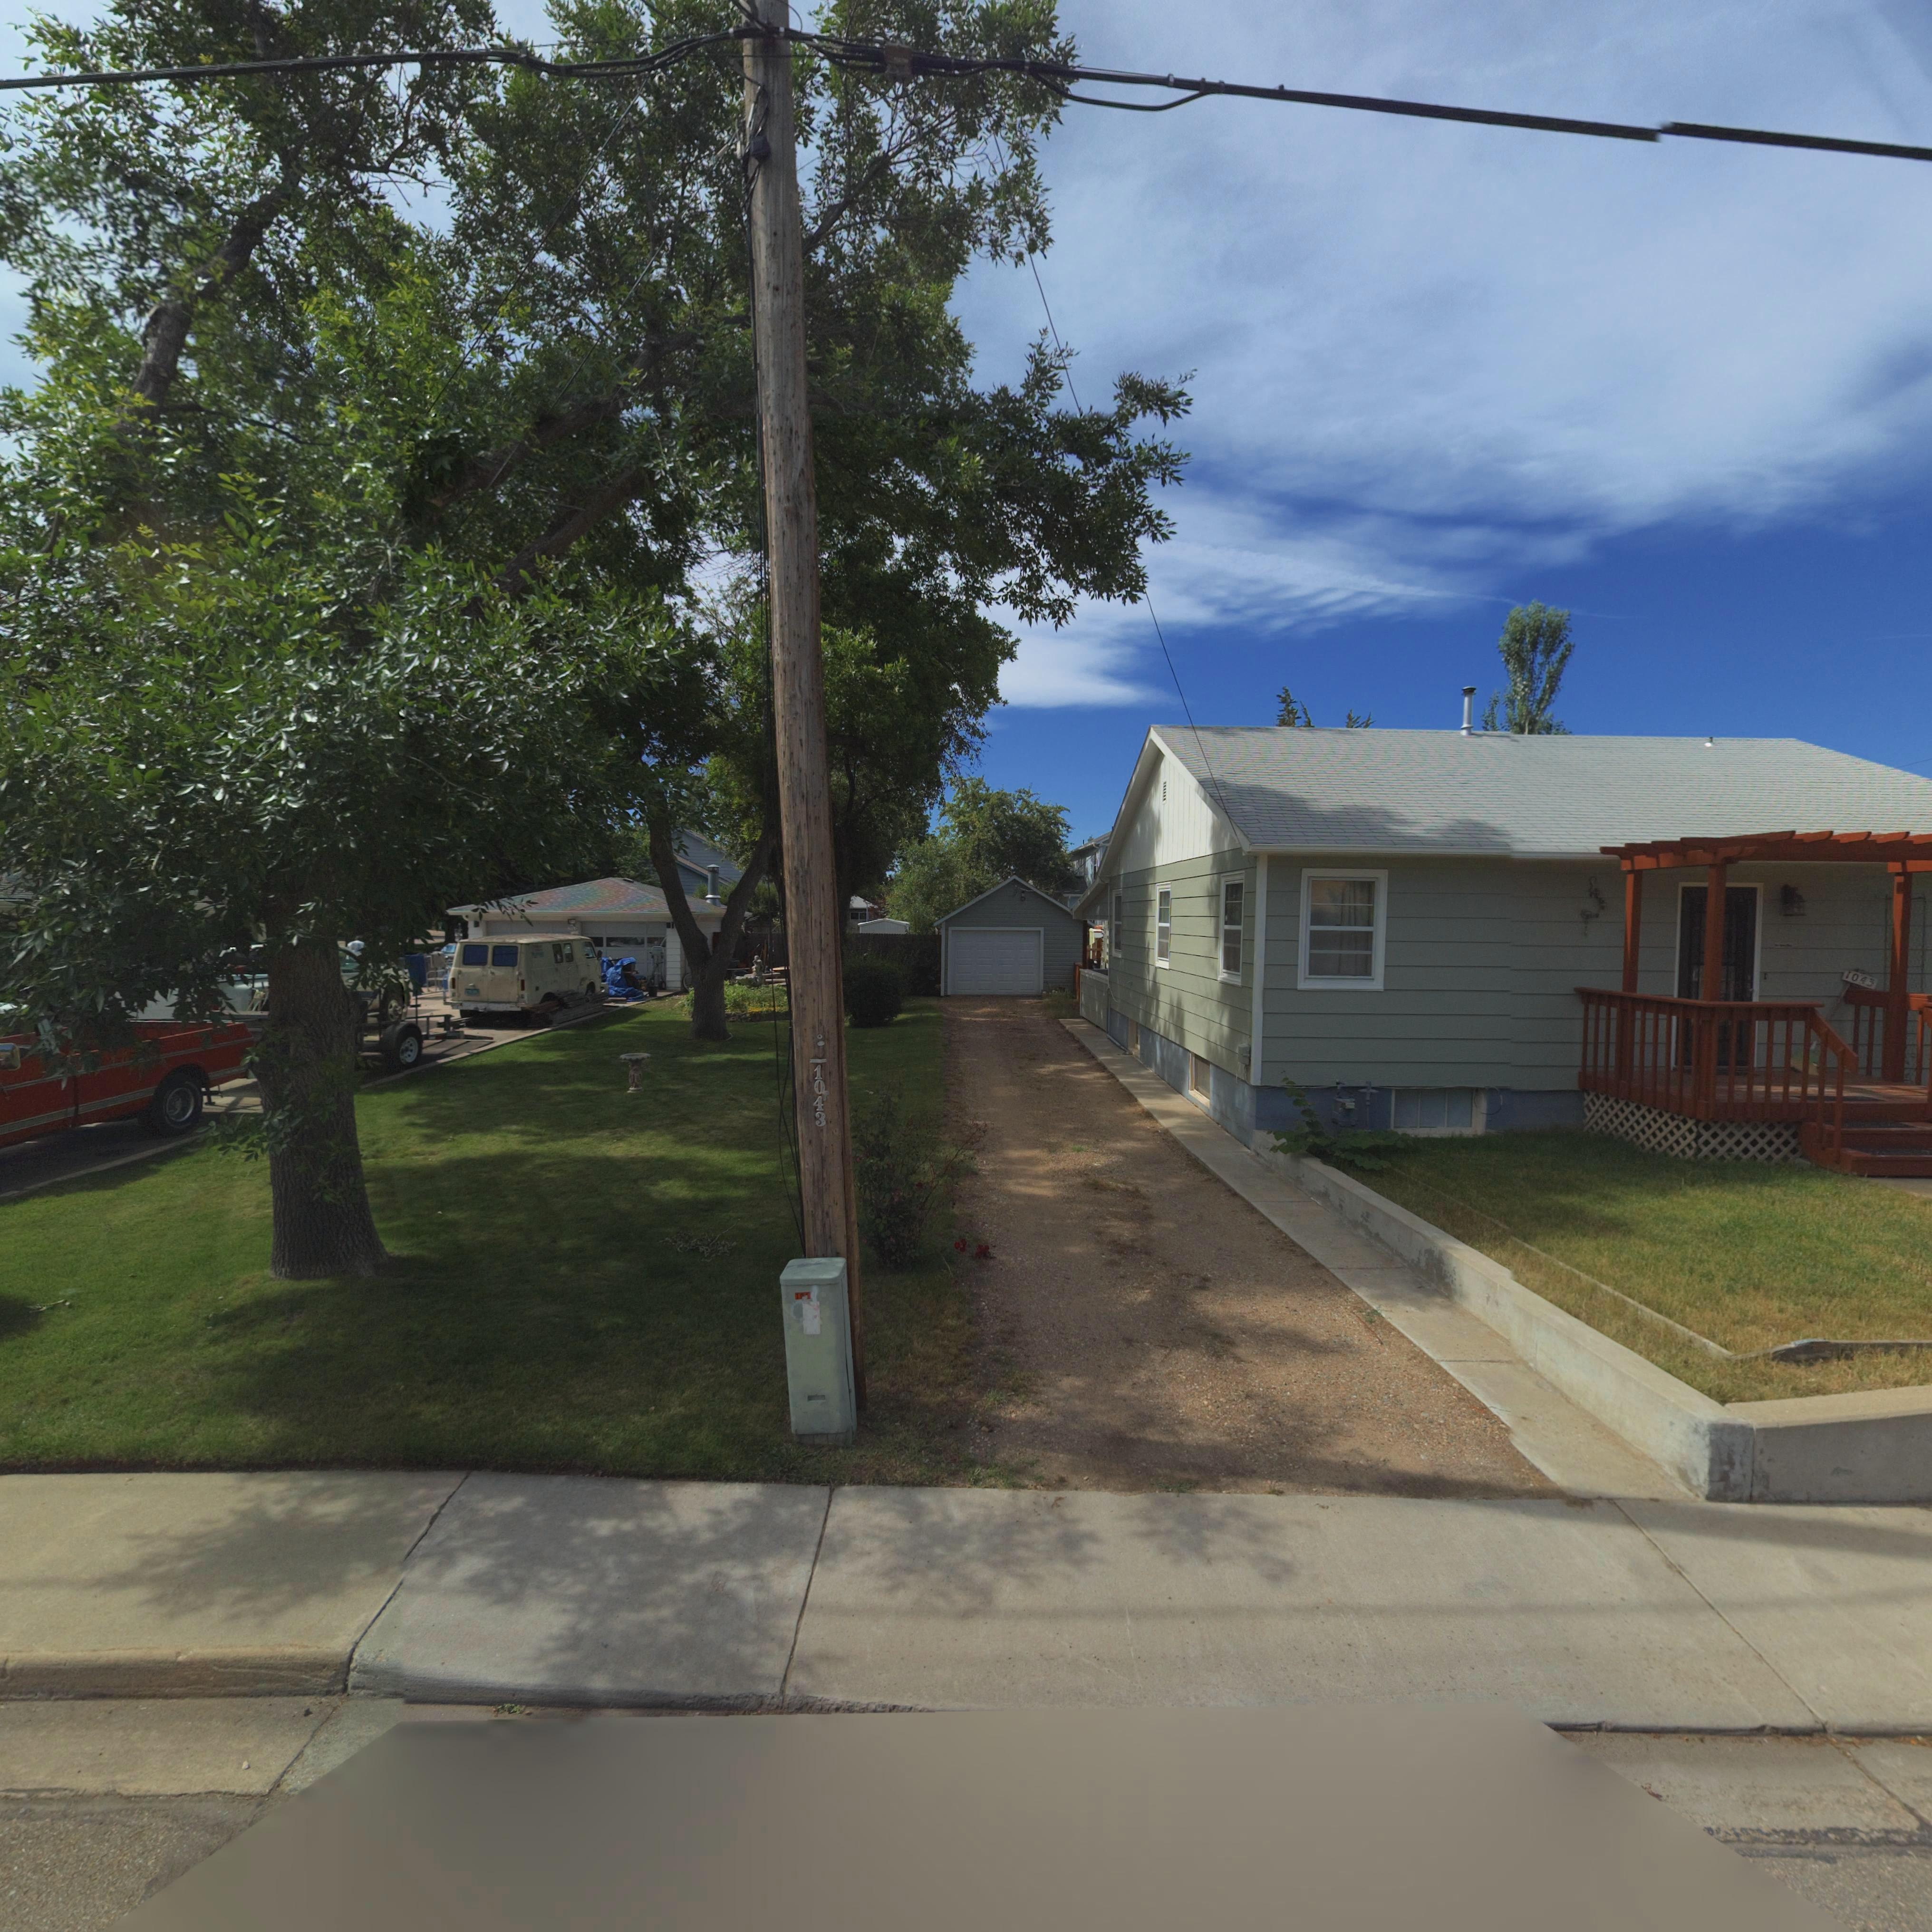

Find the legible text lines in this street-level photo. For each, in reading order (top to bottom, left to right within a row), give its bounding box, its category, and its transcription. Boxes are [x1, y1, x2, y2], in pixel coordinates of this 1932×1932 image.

[1845, 970, 1875, 987] StreetNumber: 1043